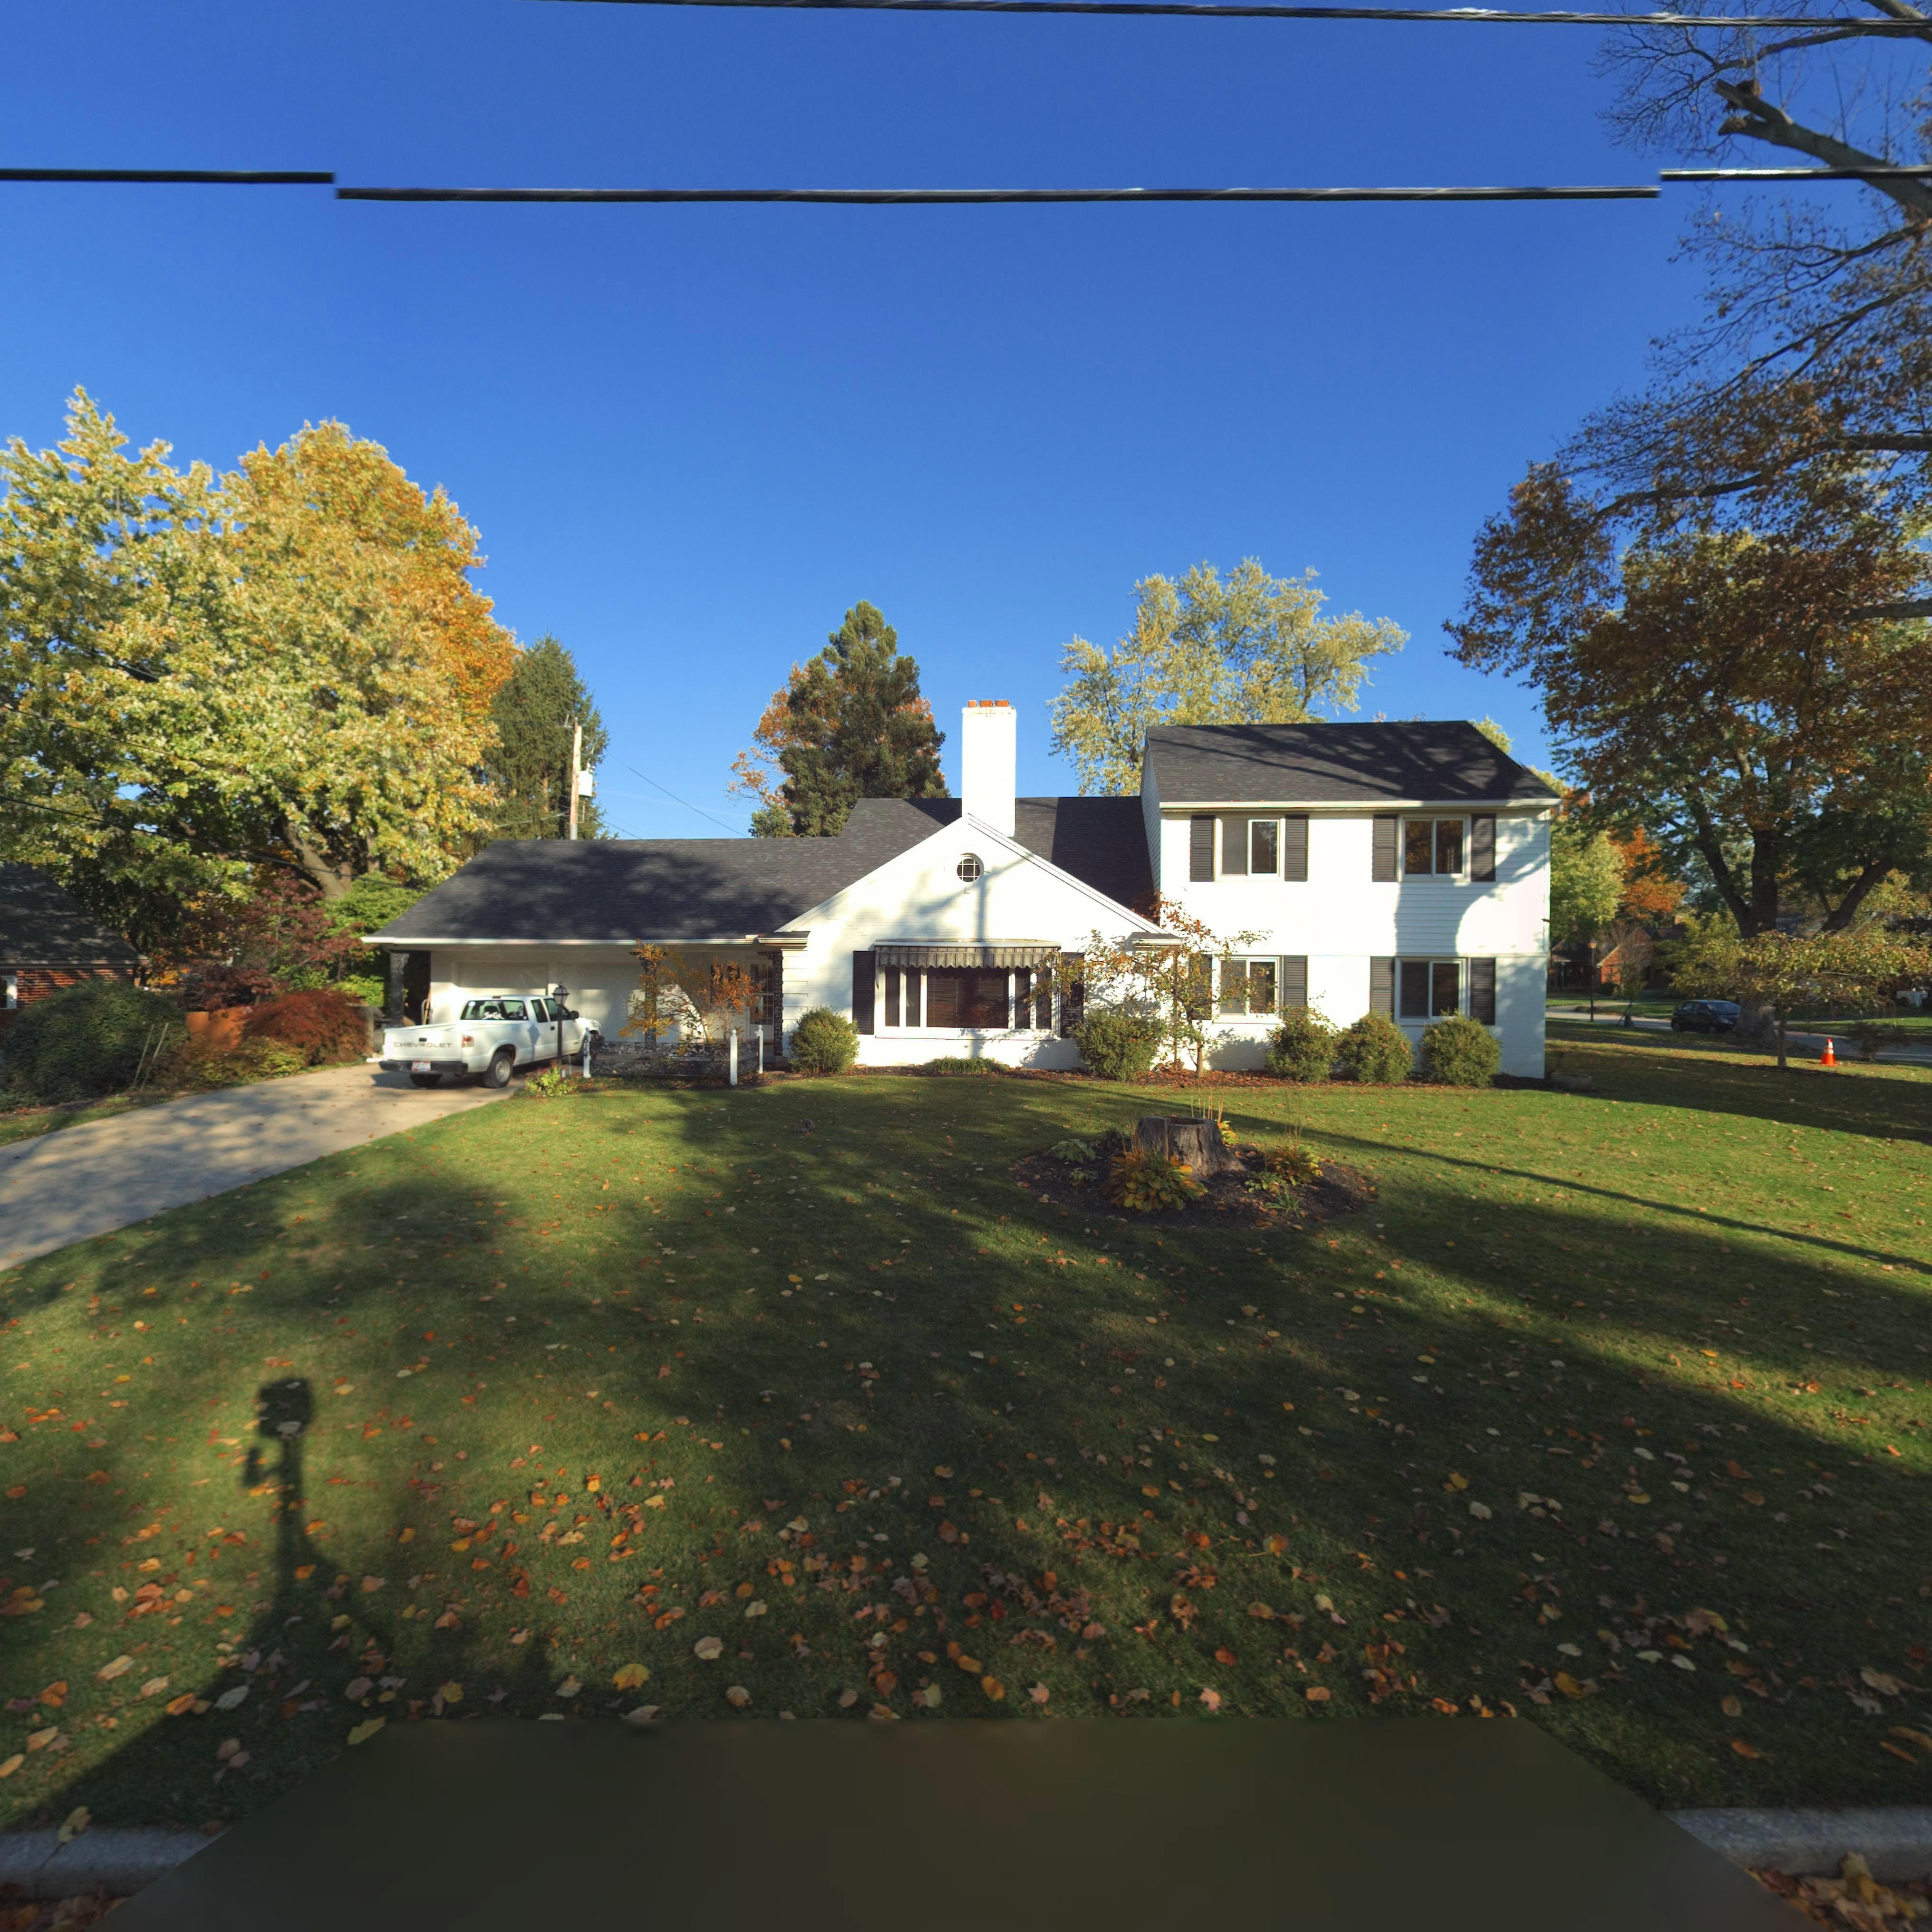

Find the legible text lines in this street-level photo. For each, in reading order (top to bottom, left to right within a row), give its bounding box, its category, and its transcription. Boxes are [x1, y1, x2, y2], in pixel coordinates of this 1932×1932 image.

[582, 1035, 589, 1059] StreetNumber: 814